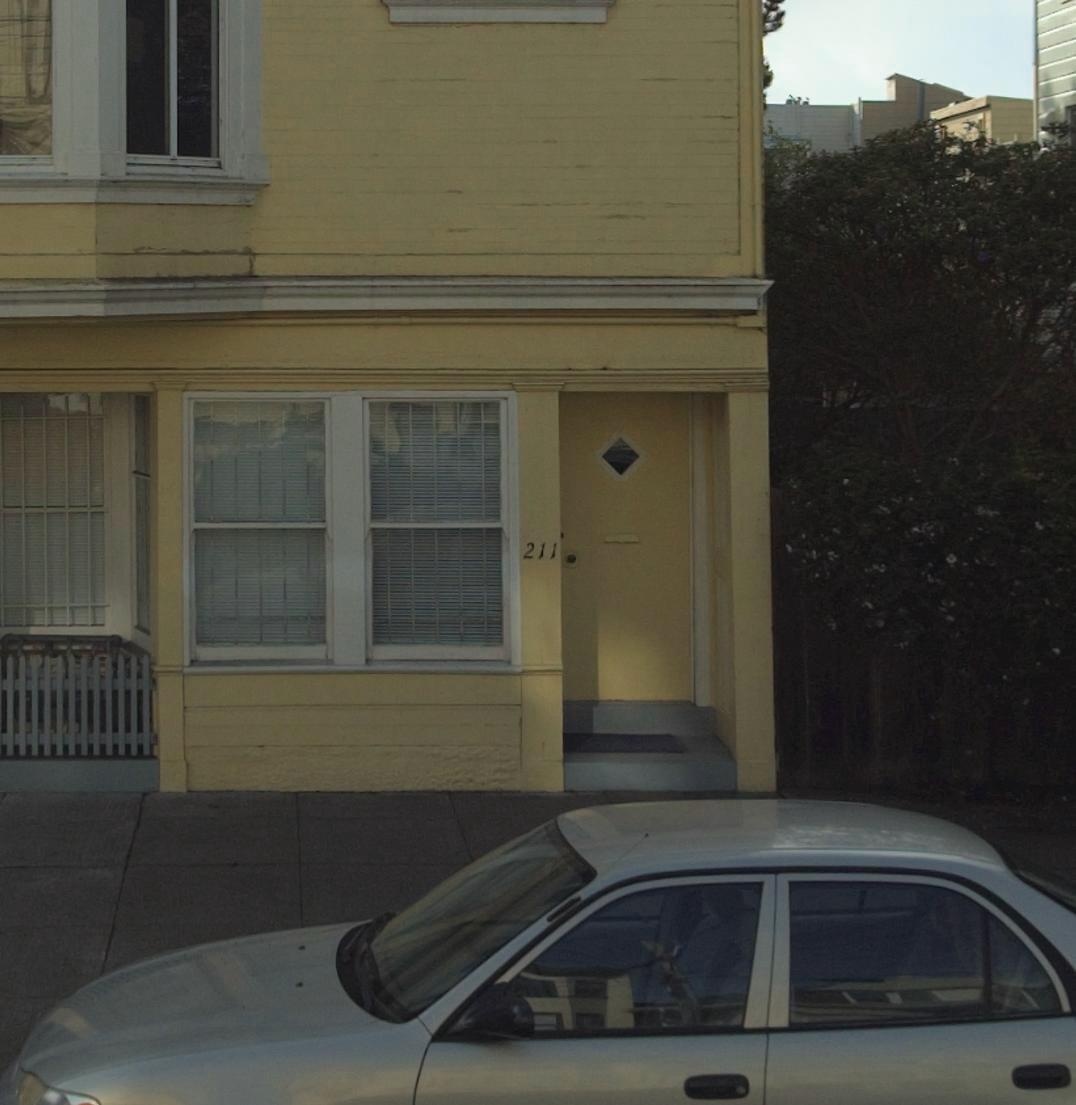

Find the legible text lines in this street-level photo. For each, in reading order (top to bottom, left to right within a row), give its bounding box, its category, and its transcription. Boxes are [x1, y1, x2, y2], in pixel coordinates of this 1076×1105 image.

[521, 540, 559, 561] StreetNumber: 211